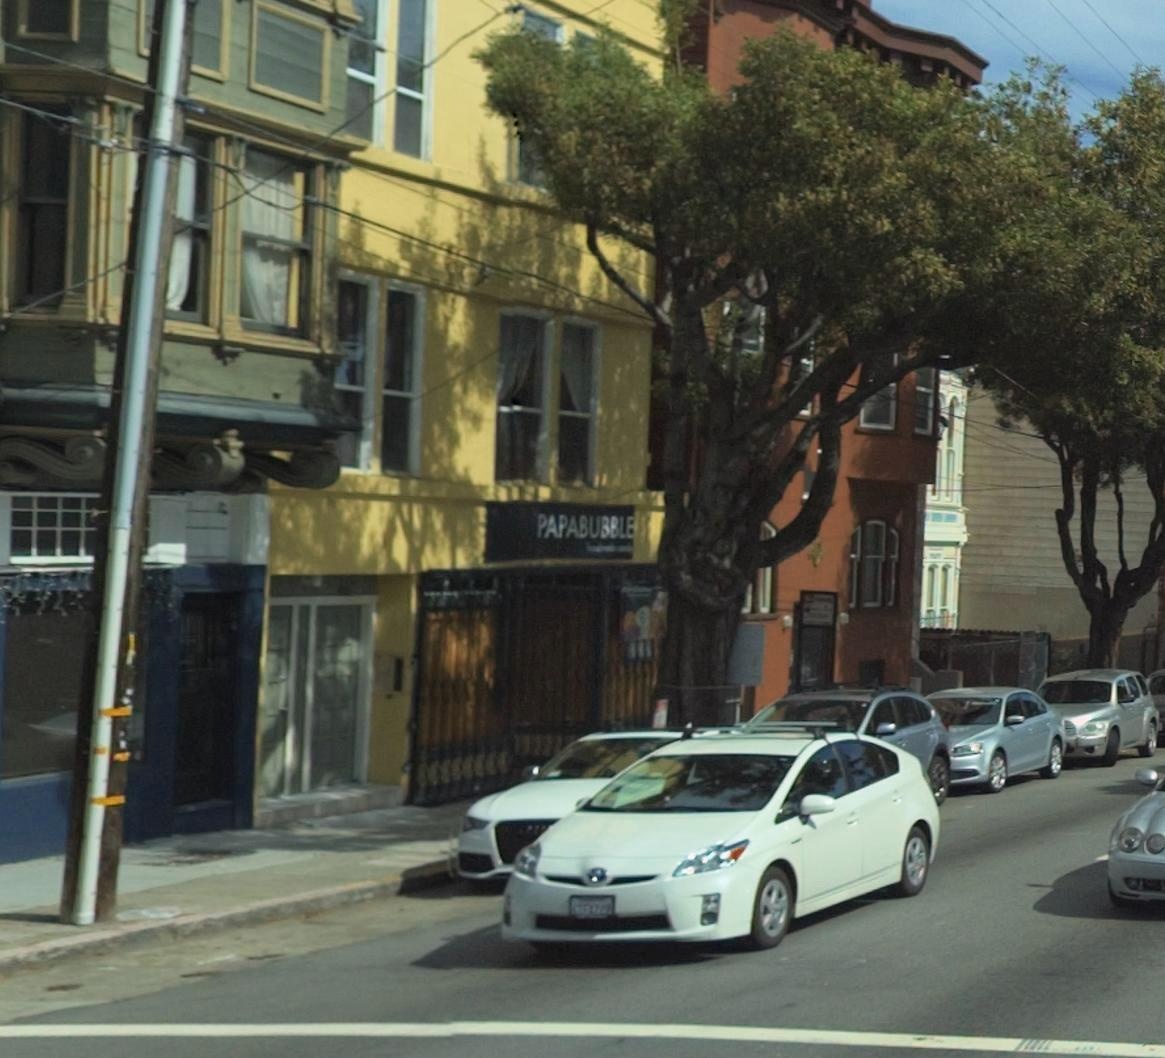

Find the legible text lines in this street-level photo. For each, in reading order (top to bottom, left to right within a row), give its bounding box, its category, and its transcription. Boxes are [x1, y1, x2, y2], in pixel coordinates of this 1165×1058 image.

[533, 512, 635, 542] BusinessName: PAPABUBBLE